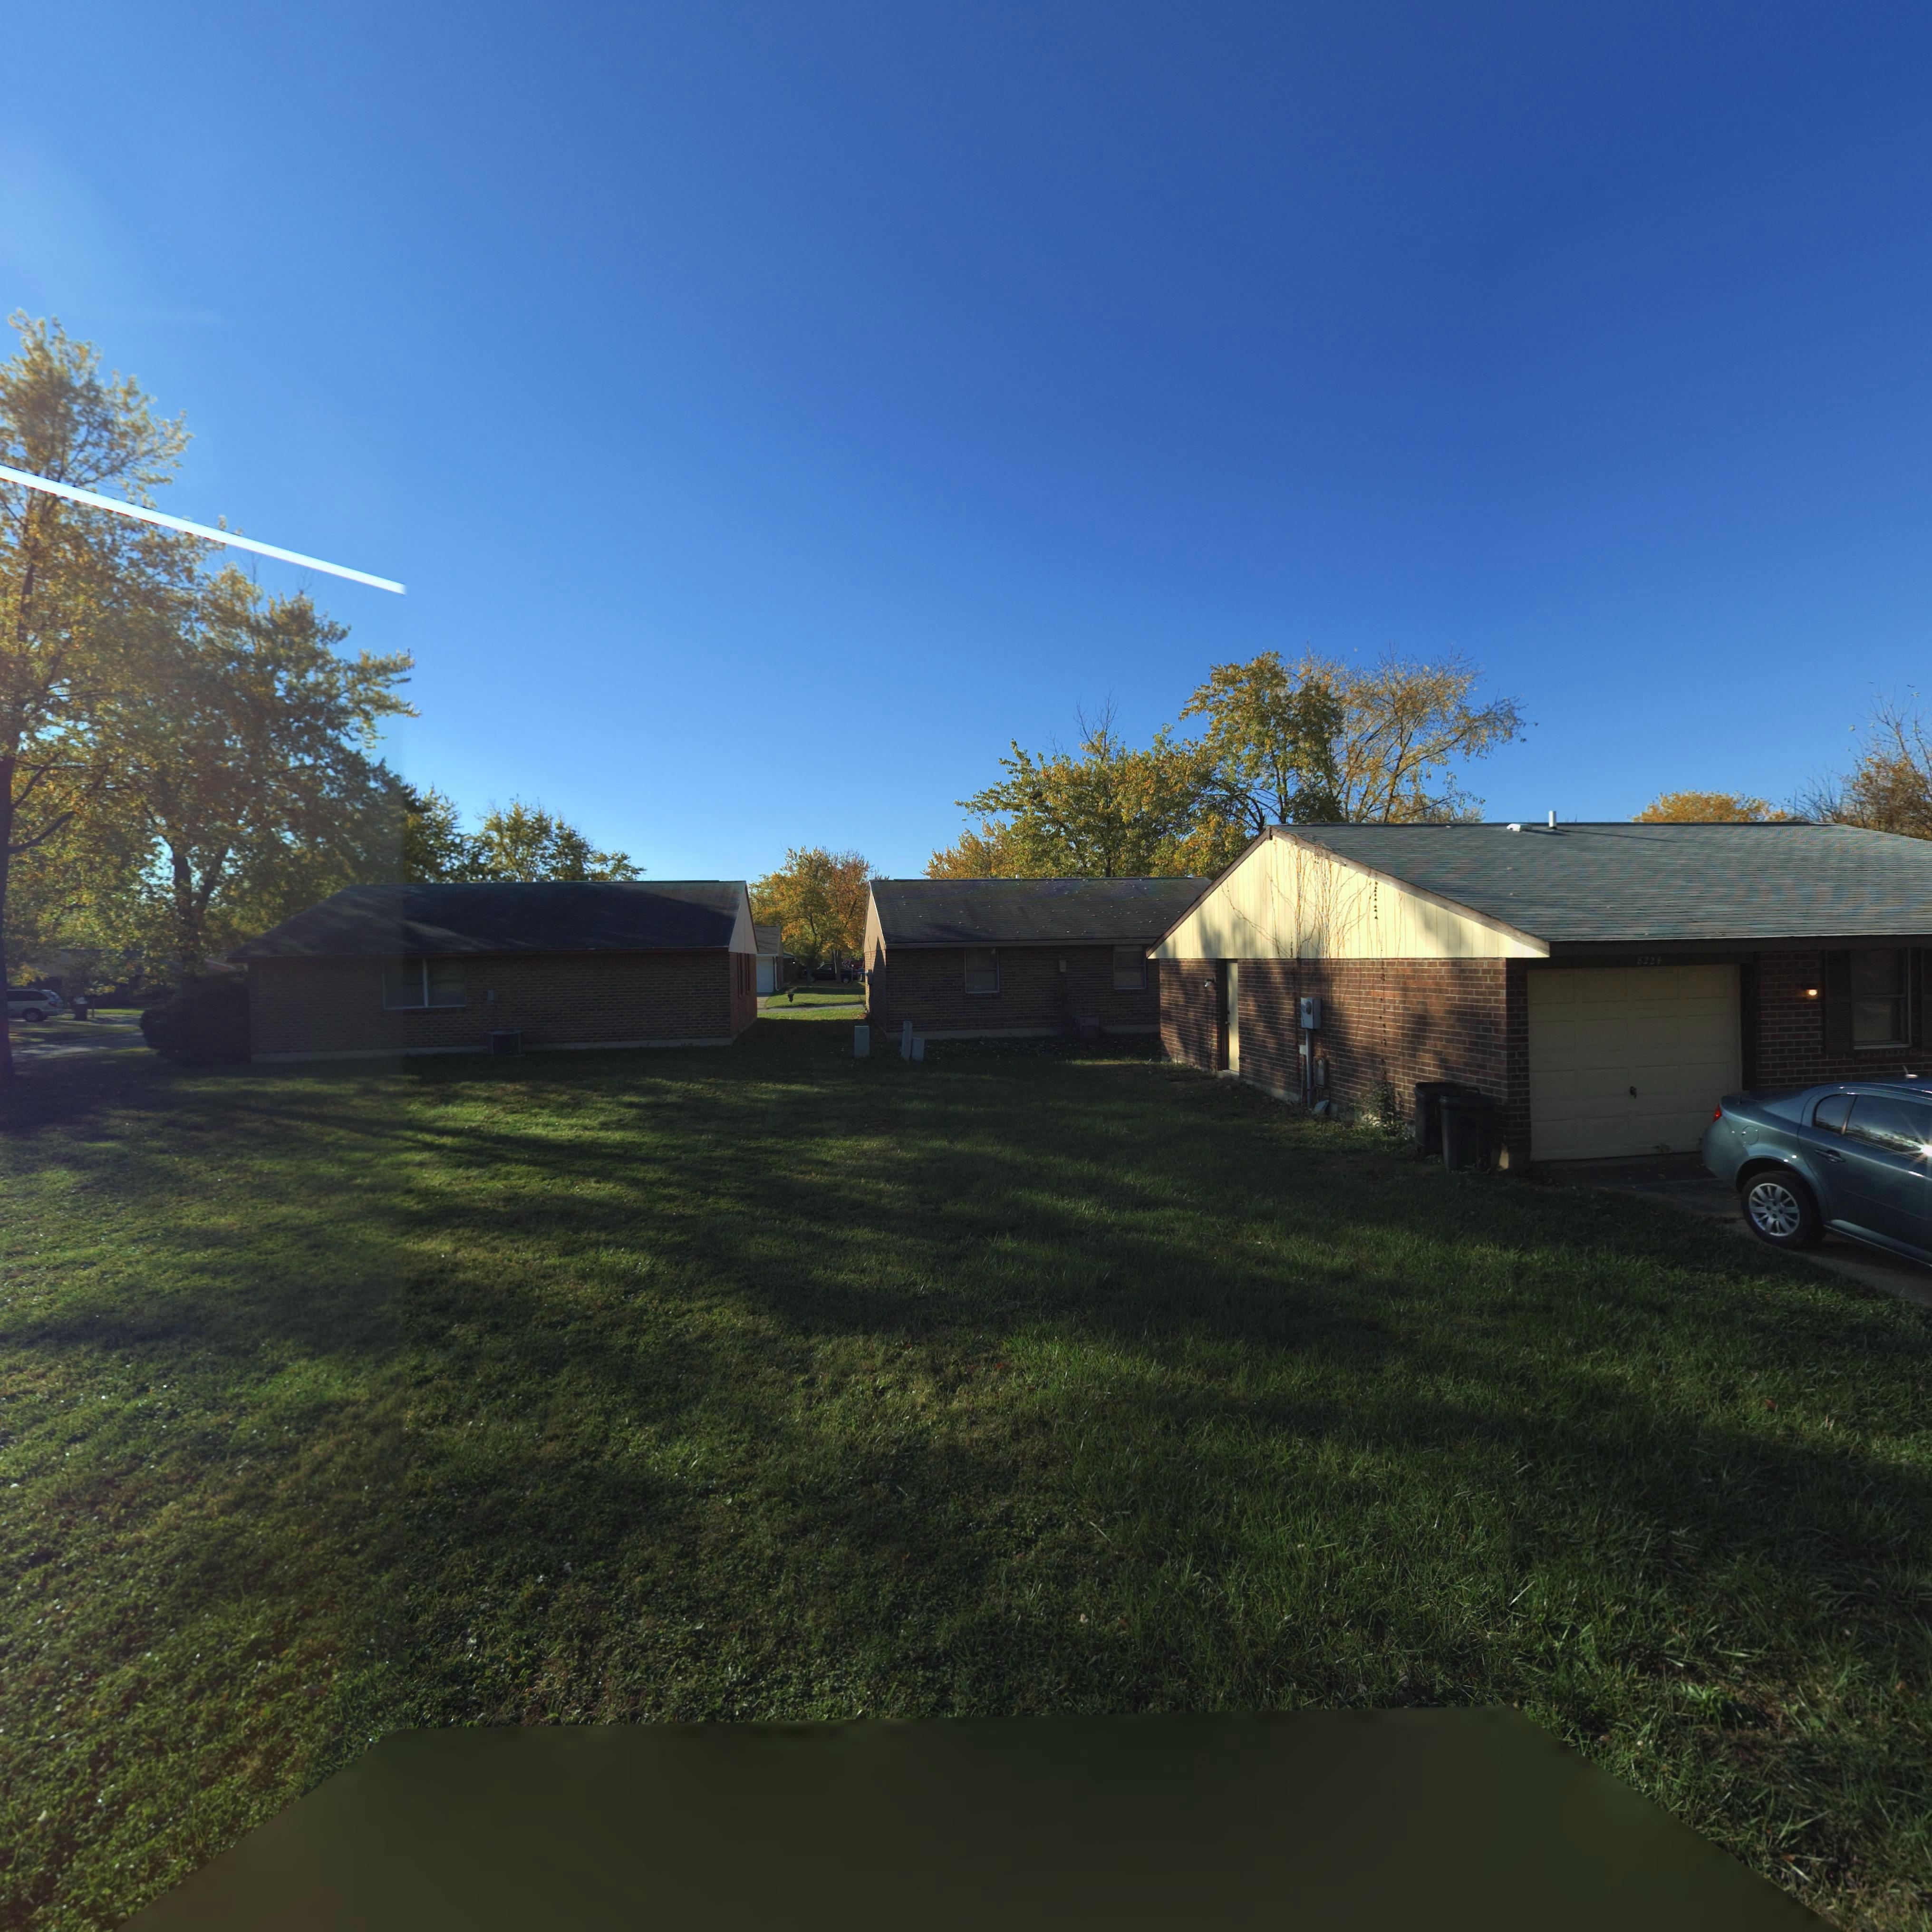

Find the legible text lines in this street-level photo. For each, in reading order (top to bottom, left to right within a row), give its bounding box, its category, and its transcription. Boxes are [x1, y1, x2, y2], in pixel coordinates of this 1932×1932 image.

[1636, 956, 1662, 965] StreetNumber: 8224